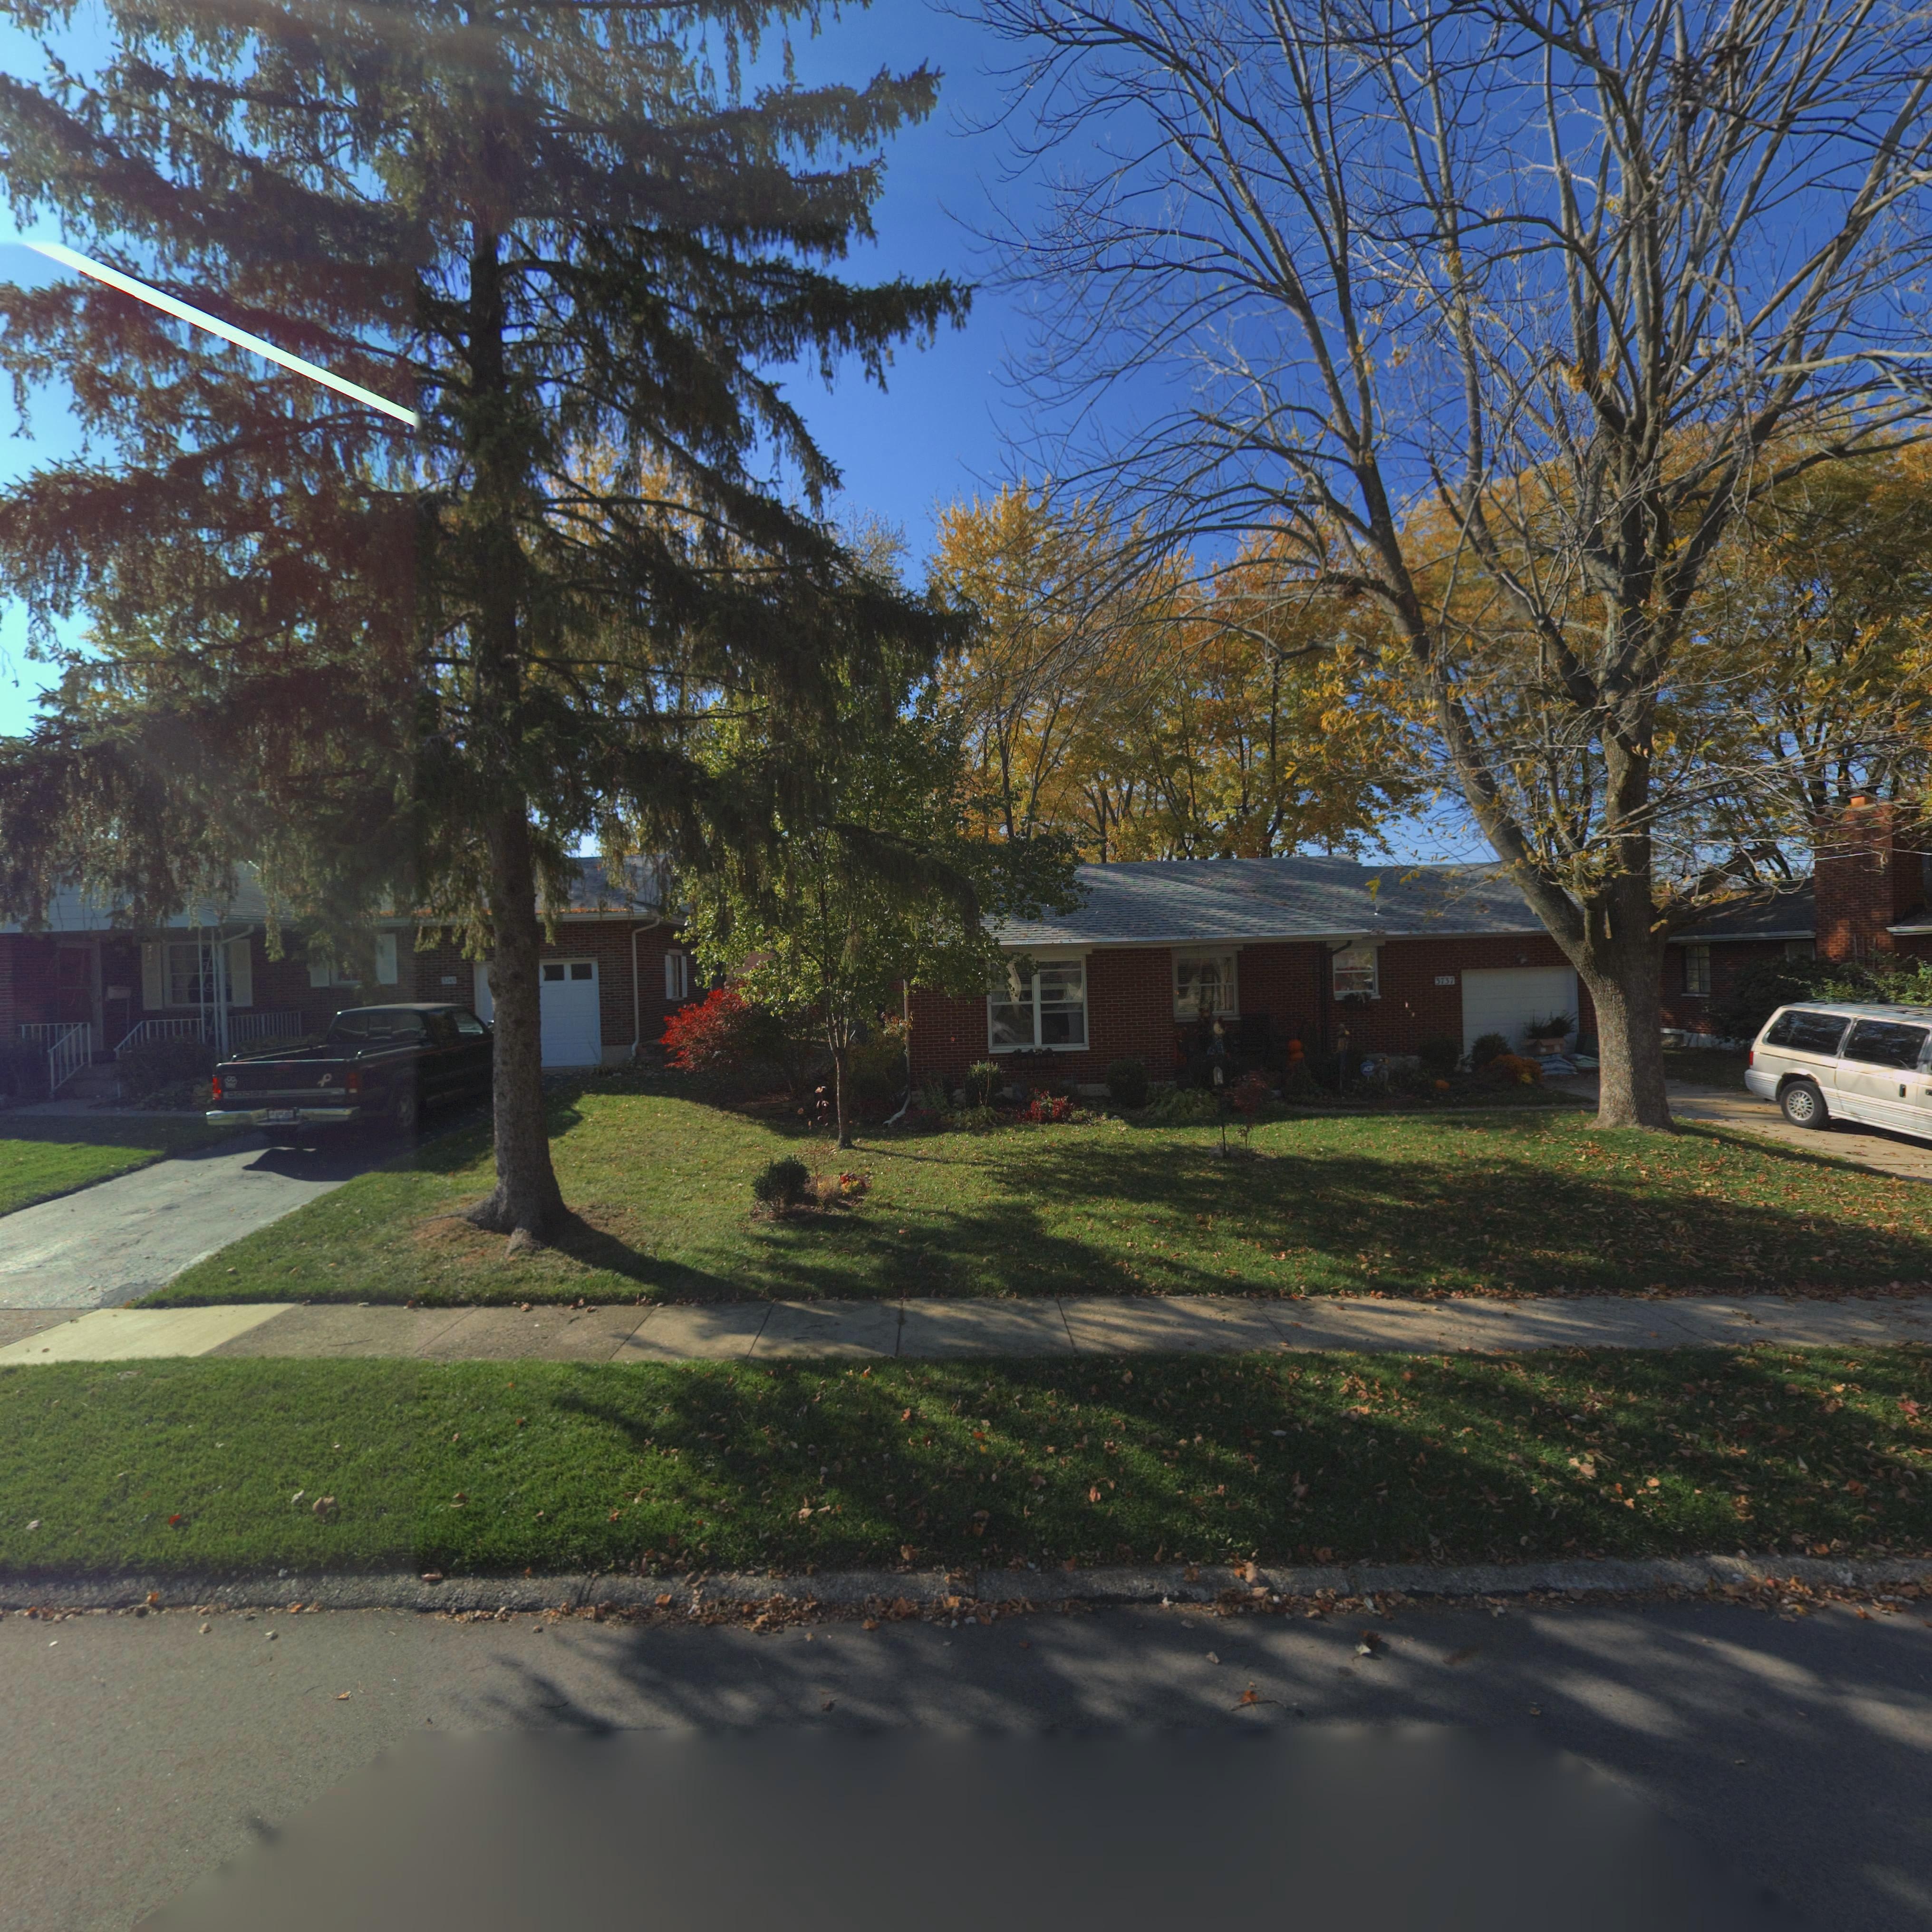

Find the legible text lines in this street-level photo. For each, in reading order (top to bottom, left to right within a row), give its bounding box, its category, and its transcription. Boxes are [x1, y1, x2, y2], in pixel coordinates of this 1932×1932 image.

[1434, 976, 1455, 986] StreetNumber: 3737
[226, 1089, 270, 1100] None: DODGE